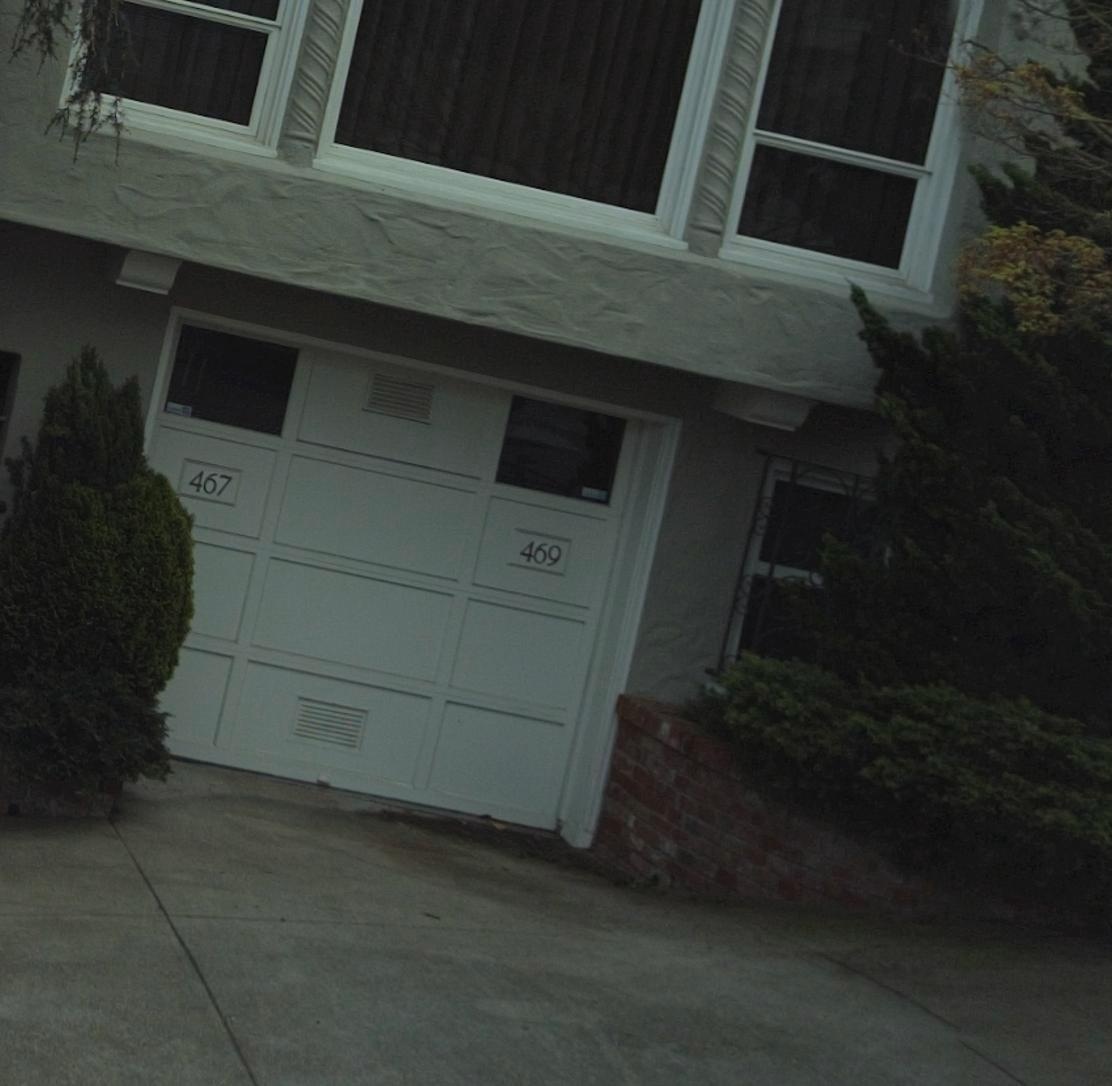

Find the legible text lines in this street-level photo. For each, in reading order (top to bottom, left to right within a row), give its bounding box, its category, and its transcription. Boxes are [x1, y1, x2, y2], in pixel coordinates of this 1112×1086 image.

[187, 467, 238, 498] StreetNumber: 467
[517, 537, 571, 569] StreetNumber: 469